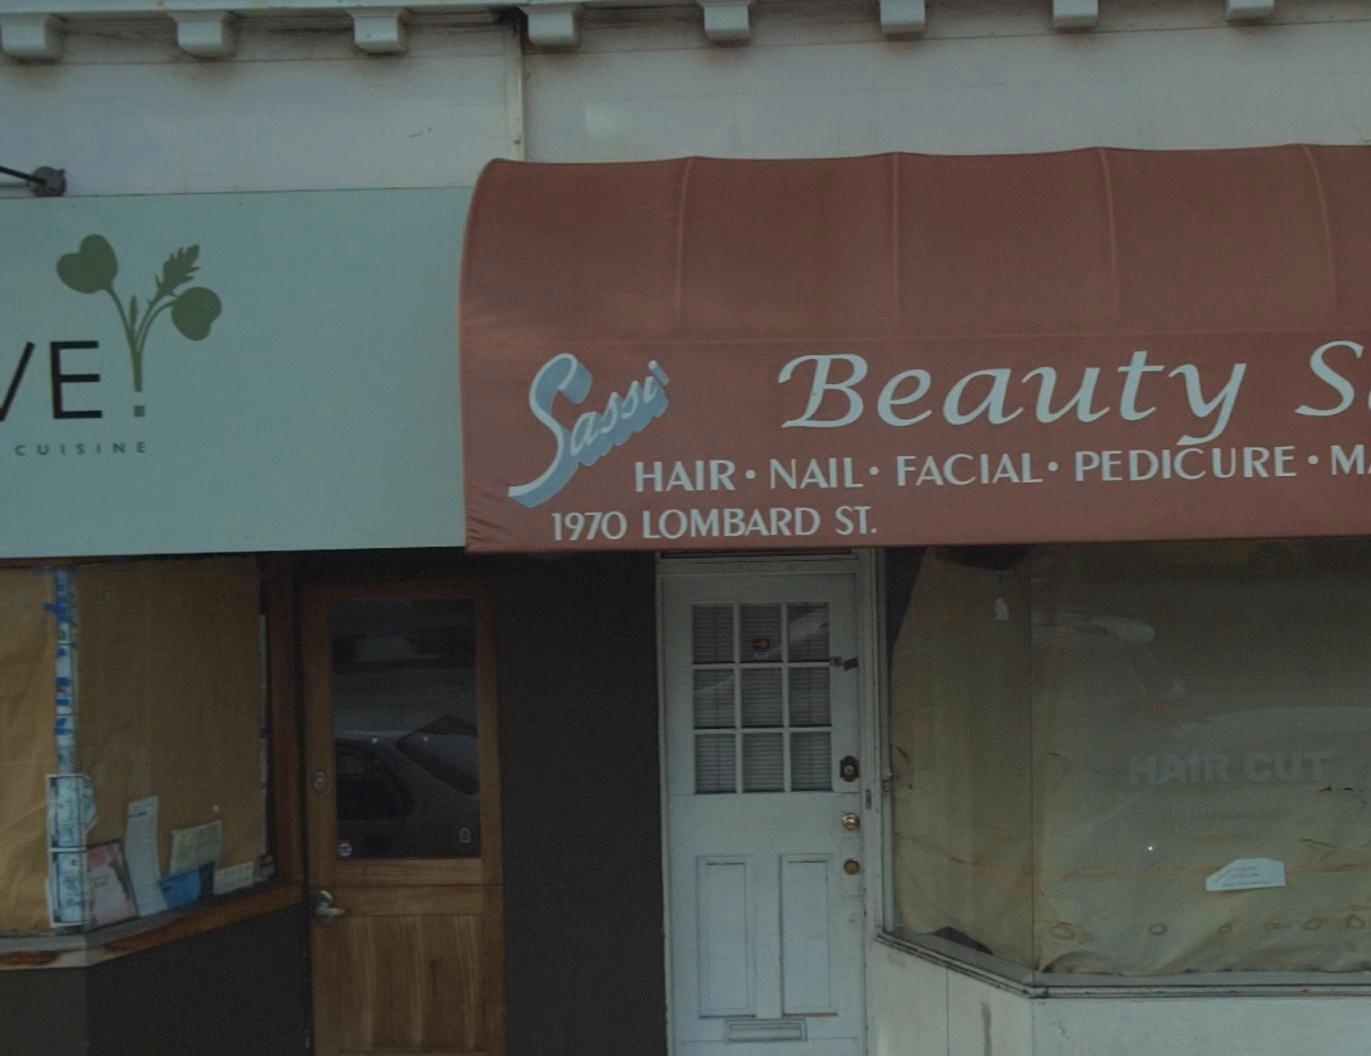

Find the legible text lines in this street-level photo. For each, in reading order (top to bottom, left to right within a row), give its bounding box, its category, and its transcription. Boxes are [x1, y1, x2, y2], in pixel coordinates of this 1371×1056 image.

[45, 334, 108, 425] BusinessName: E
[768, 333, 1369, 450] BusinessName: Beauty S
[12, 438, 150, 459] None: CUISINE
[501, 344, 675, 515] BusinessName: Sassi
[629, 440, 1369, 497] None: HAIR * NAIL * FACIAL * PEDICURE * M
[548, 508, 631, 543] StreetNumber: 1970
[638, 501, 881, 544] StreetName: LOMBARD ST.
[1125, 747, 1334, 787] None: HAIR CUT